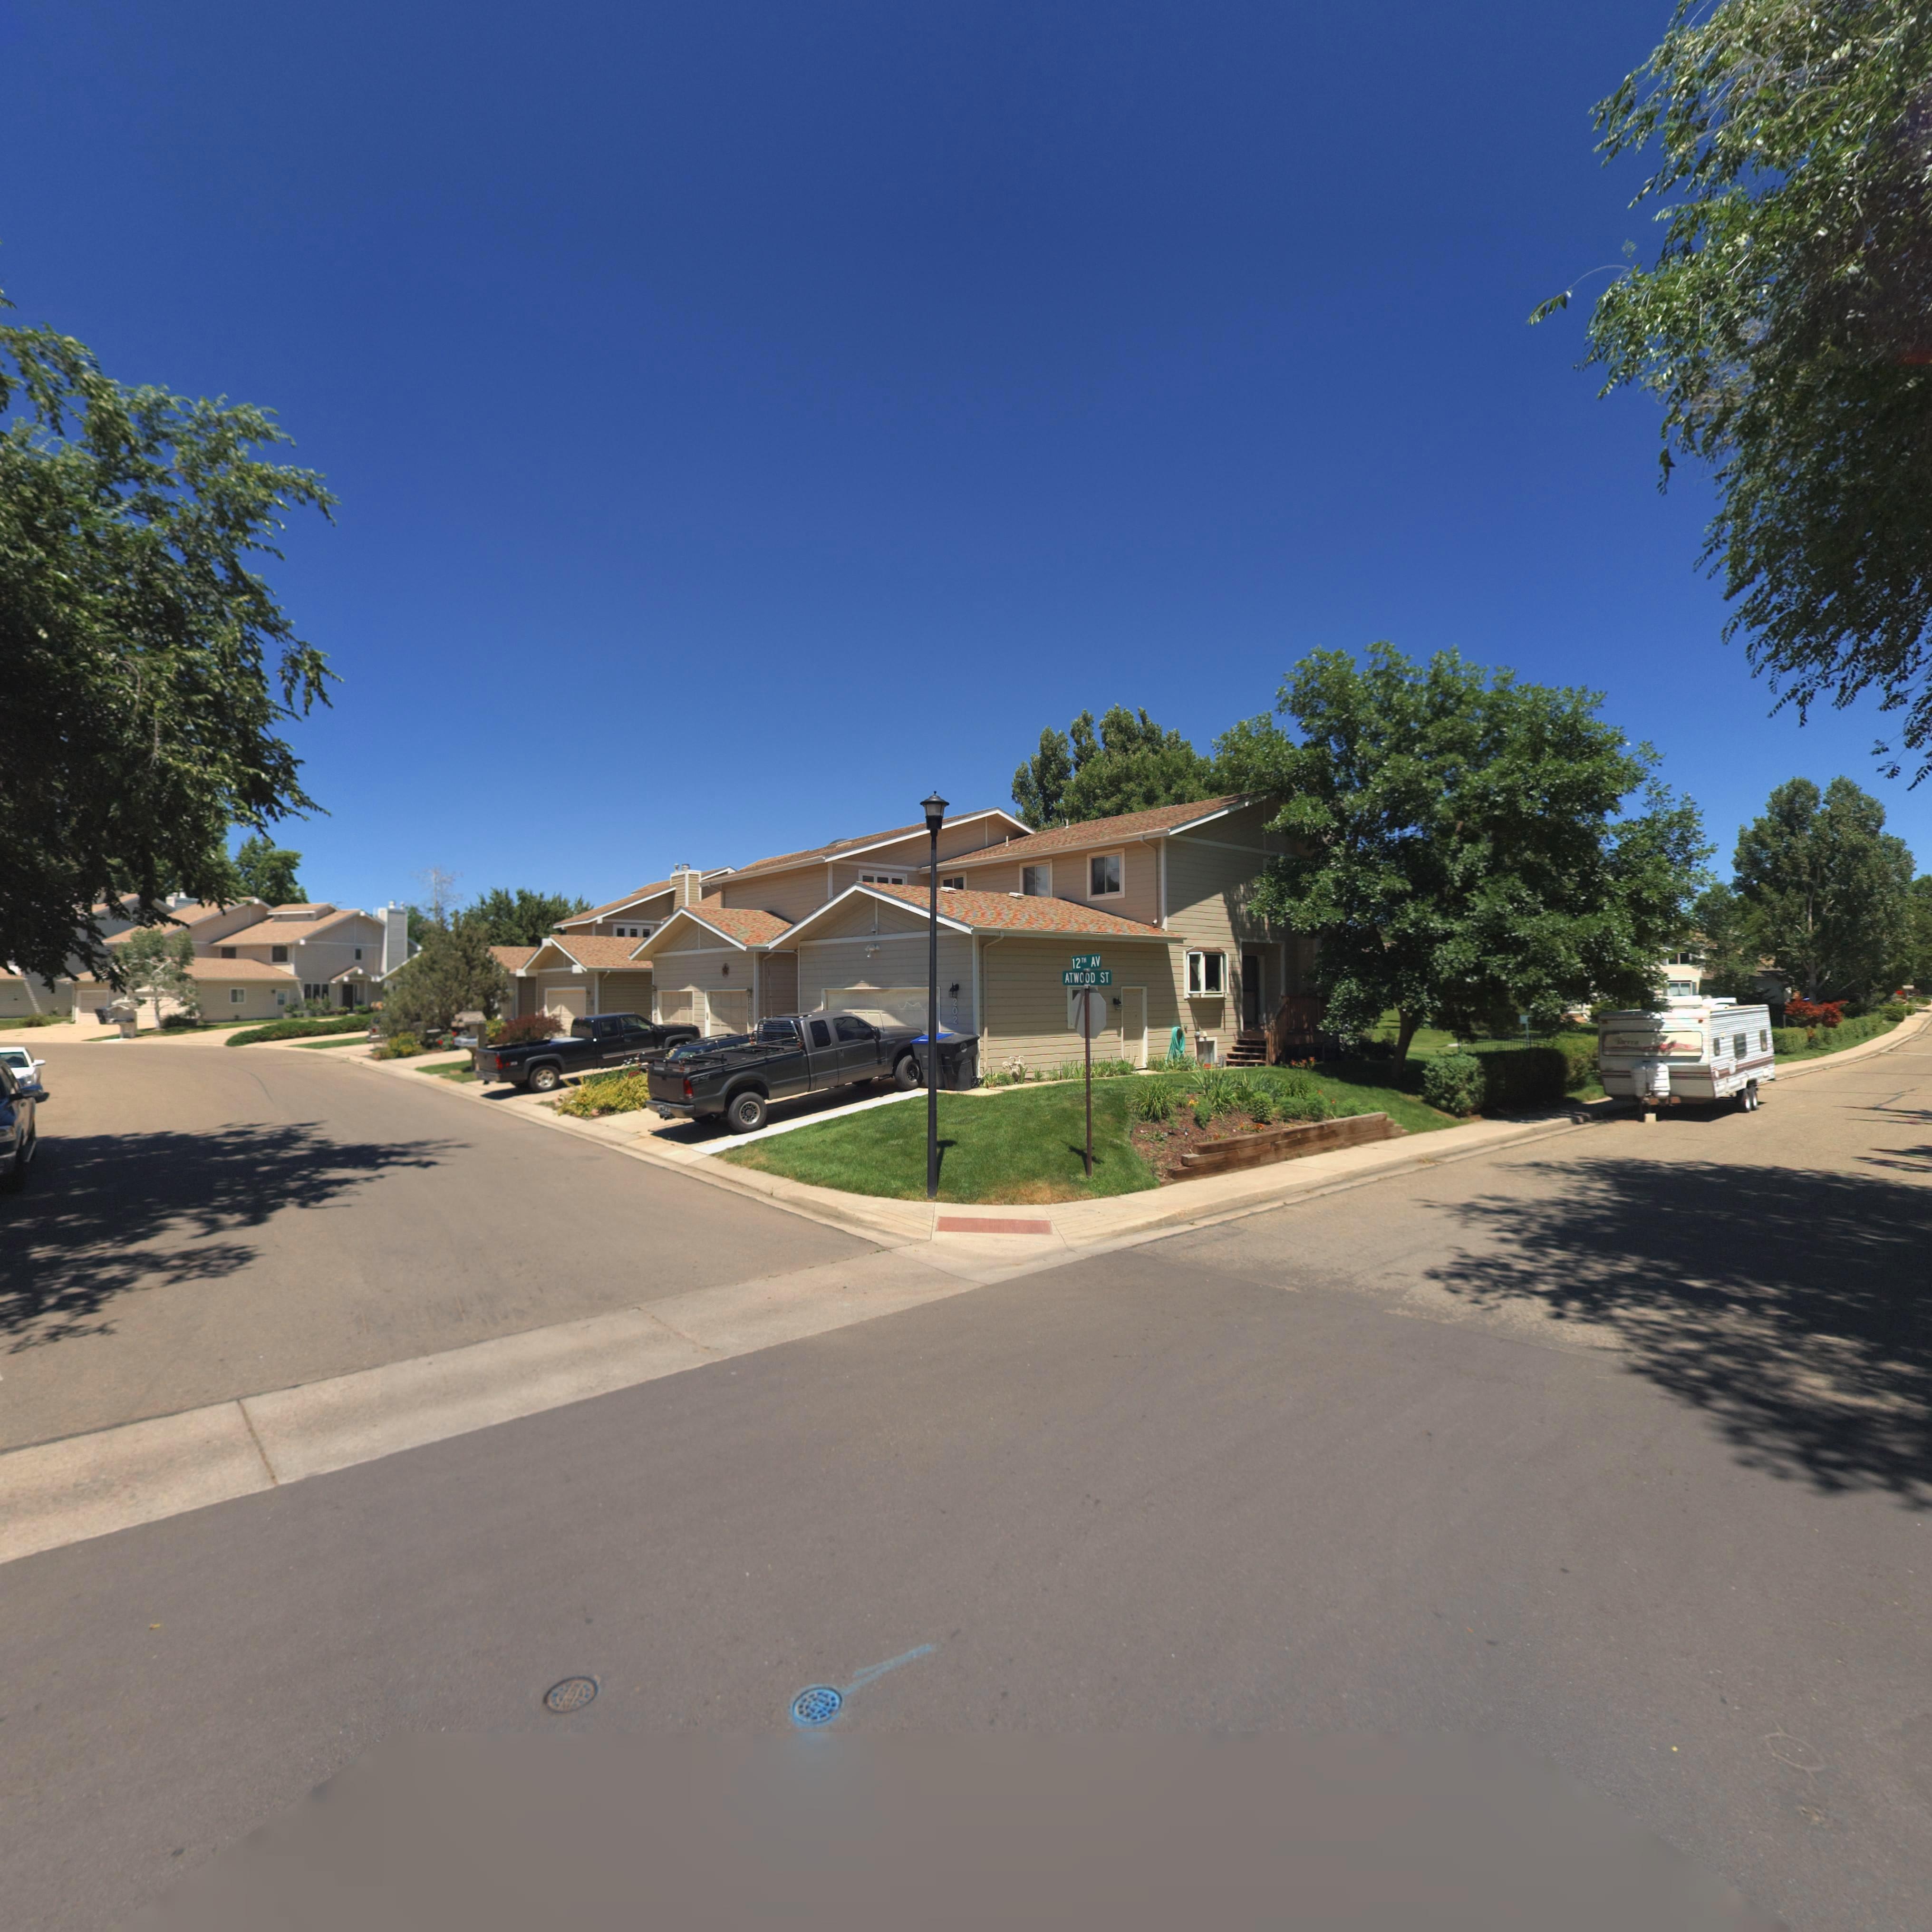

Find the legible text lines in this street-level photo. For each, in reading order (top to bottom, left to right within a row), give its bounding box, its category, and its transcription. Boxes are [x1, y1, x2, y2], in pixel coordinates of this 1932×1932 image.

[1072, 956, 1101, 969] StreetName: 12TH AV
[1064, 972, 1109, 983] StreetName: ATWOOD ST
[748, 997, 752, 1017] StreetNumber: 204
[952, 998, 958, 1024] StreetNumber: 202